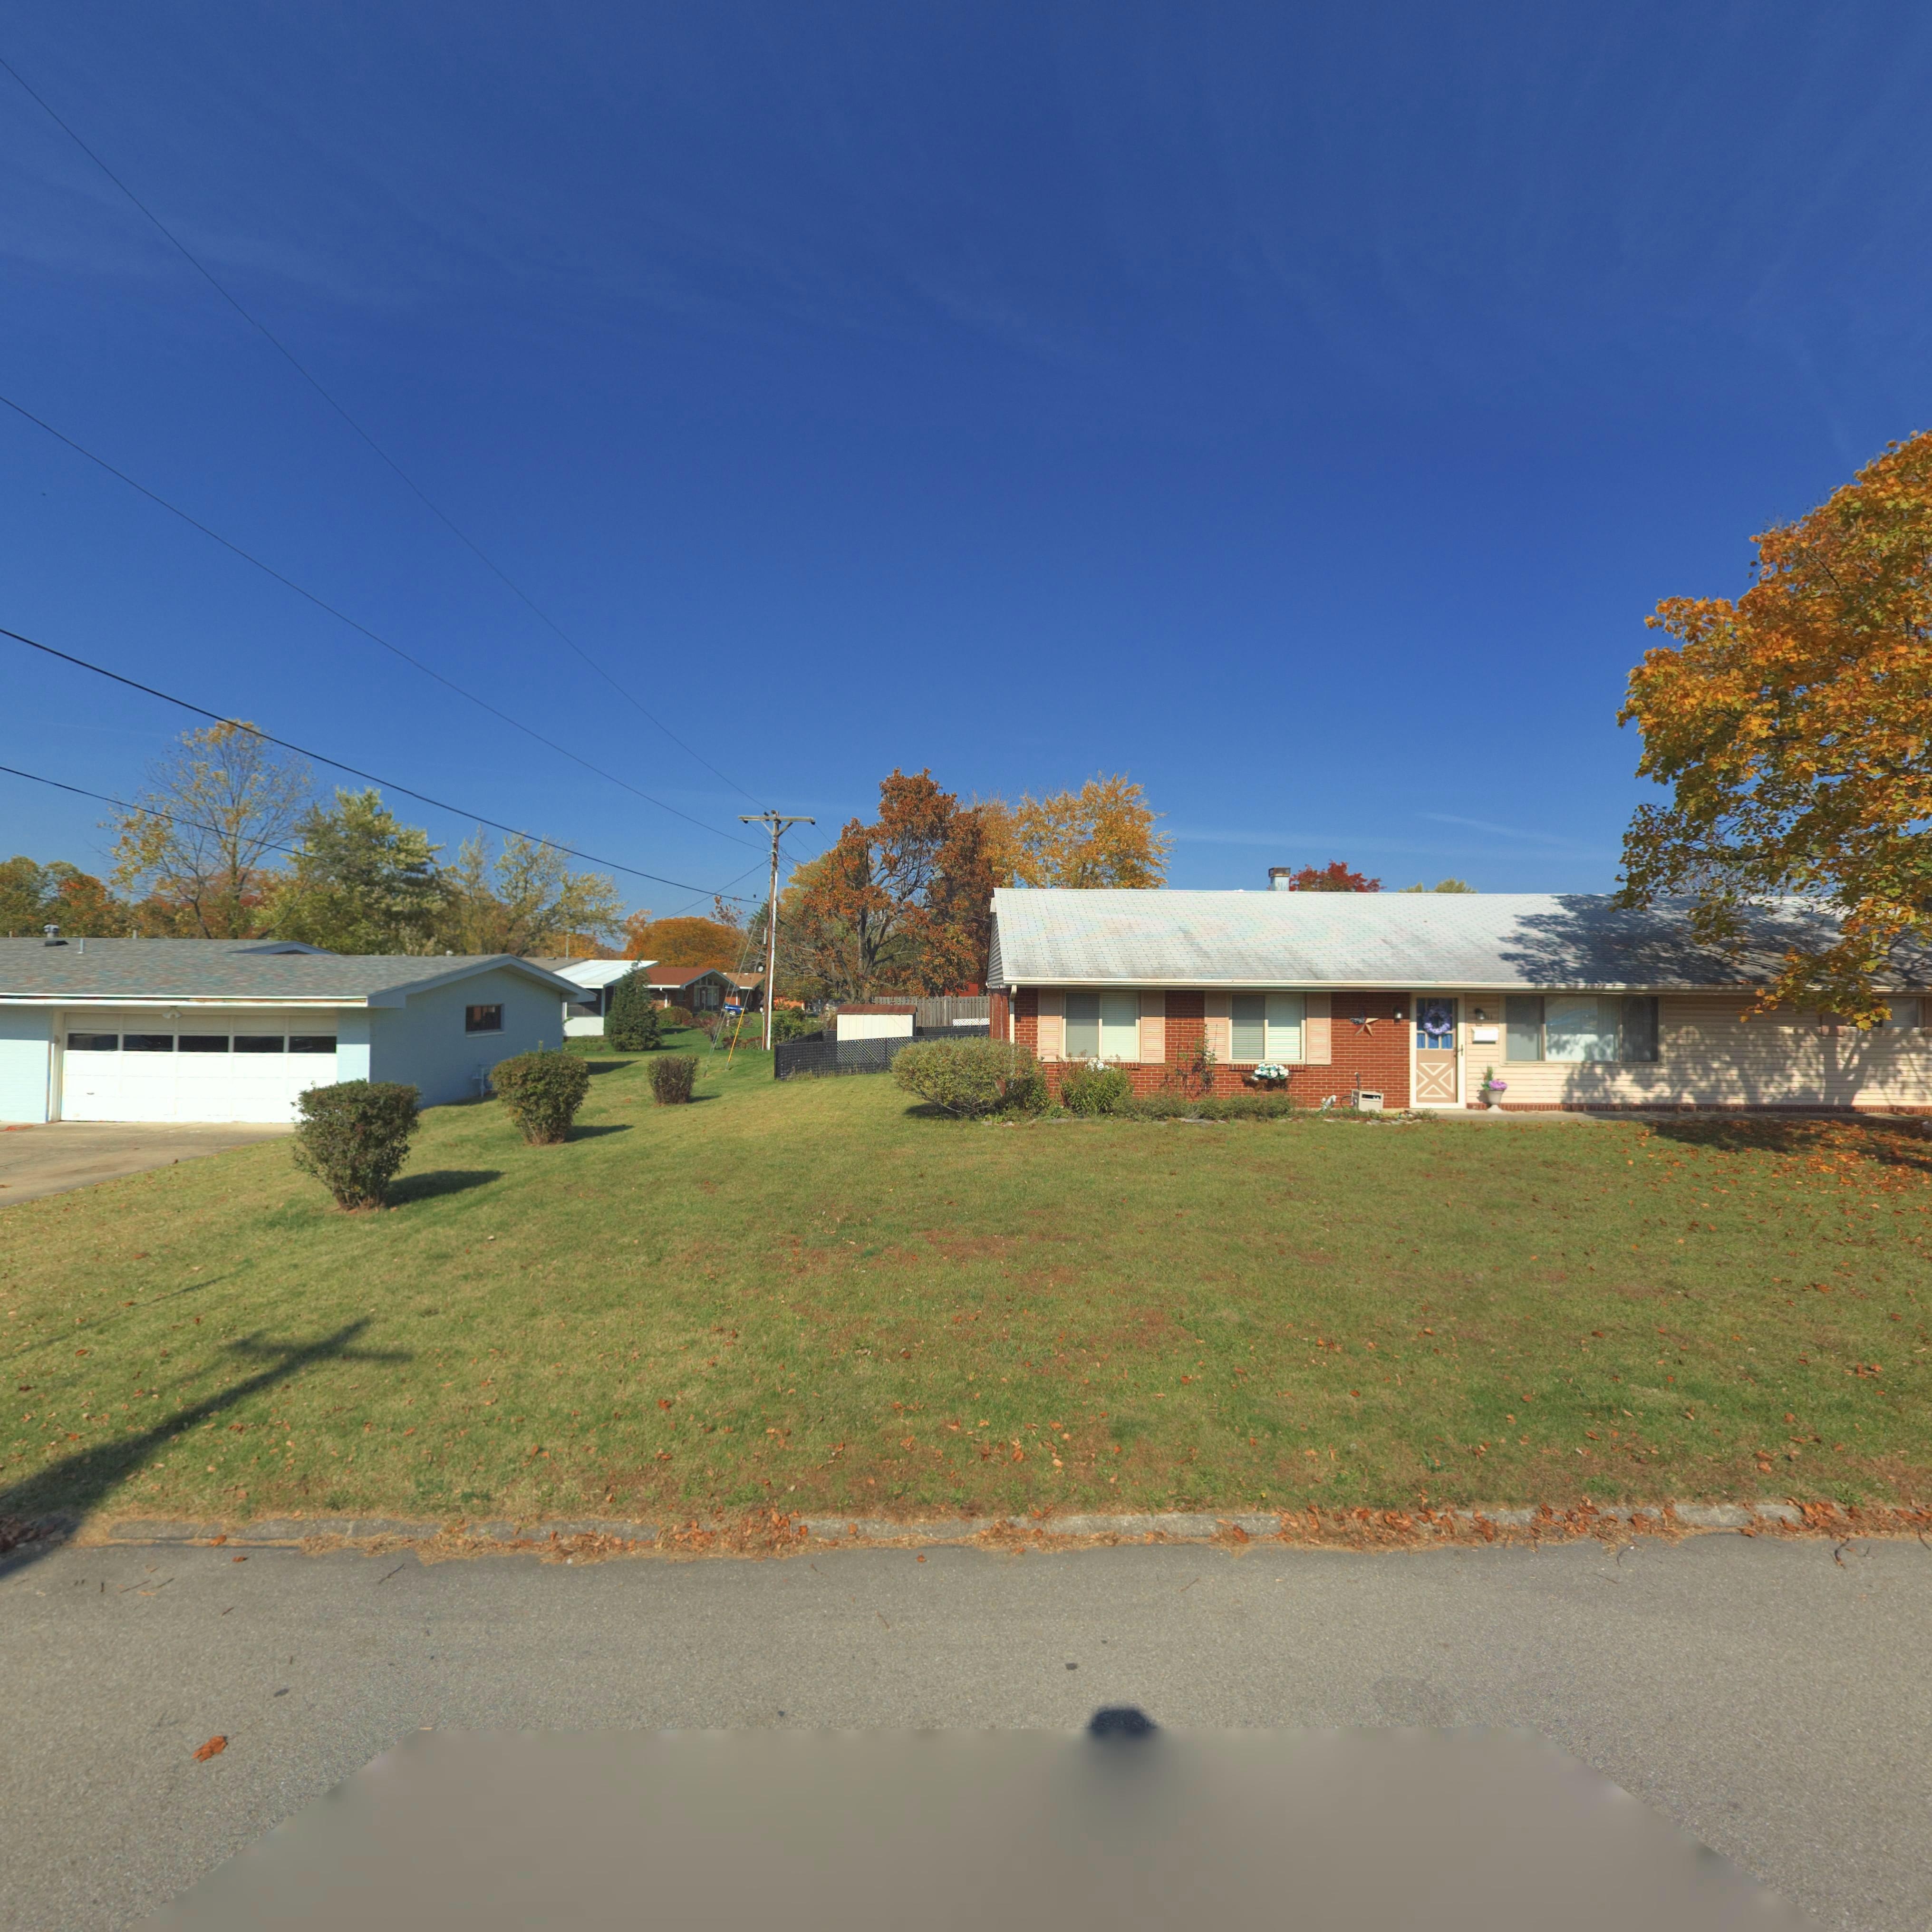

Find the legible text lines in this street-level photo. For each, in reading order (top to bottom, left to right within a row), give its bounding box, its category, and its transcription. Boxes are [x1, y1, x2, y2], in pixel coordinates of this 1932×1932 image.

[1486, 1013, 1494, 1021] StreetNumber: 11